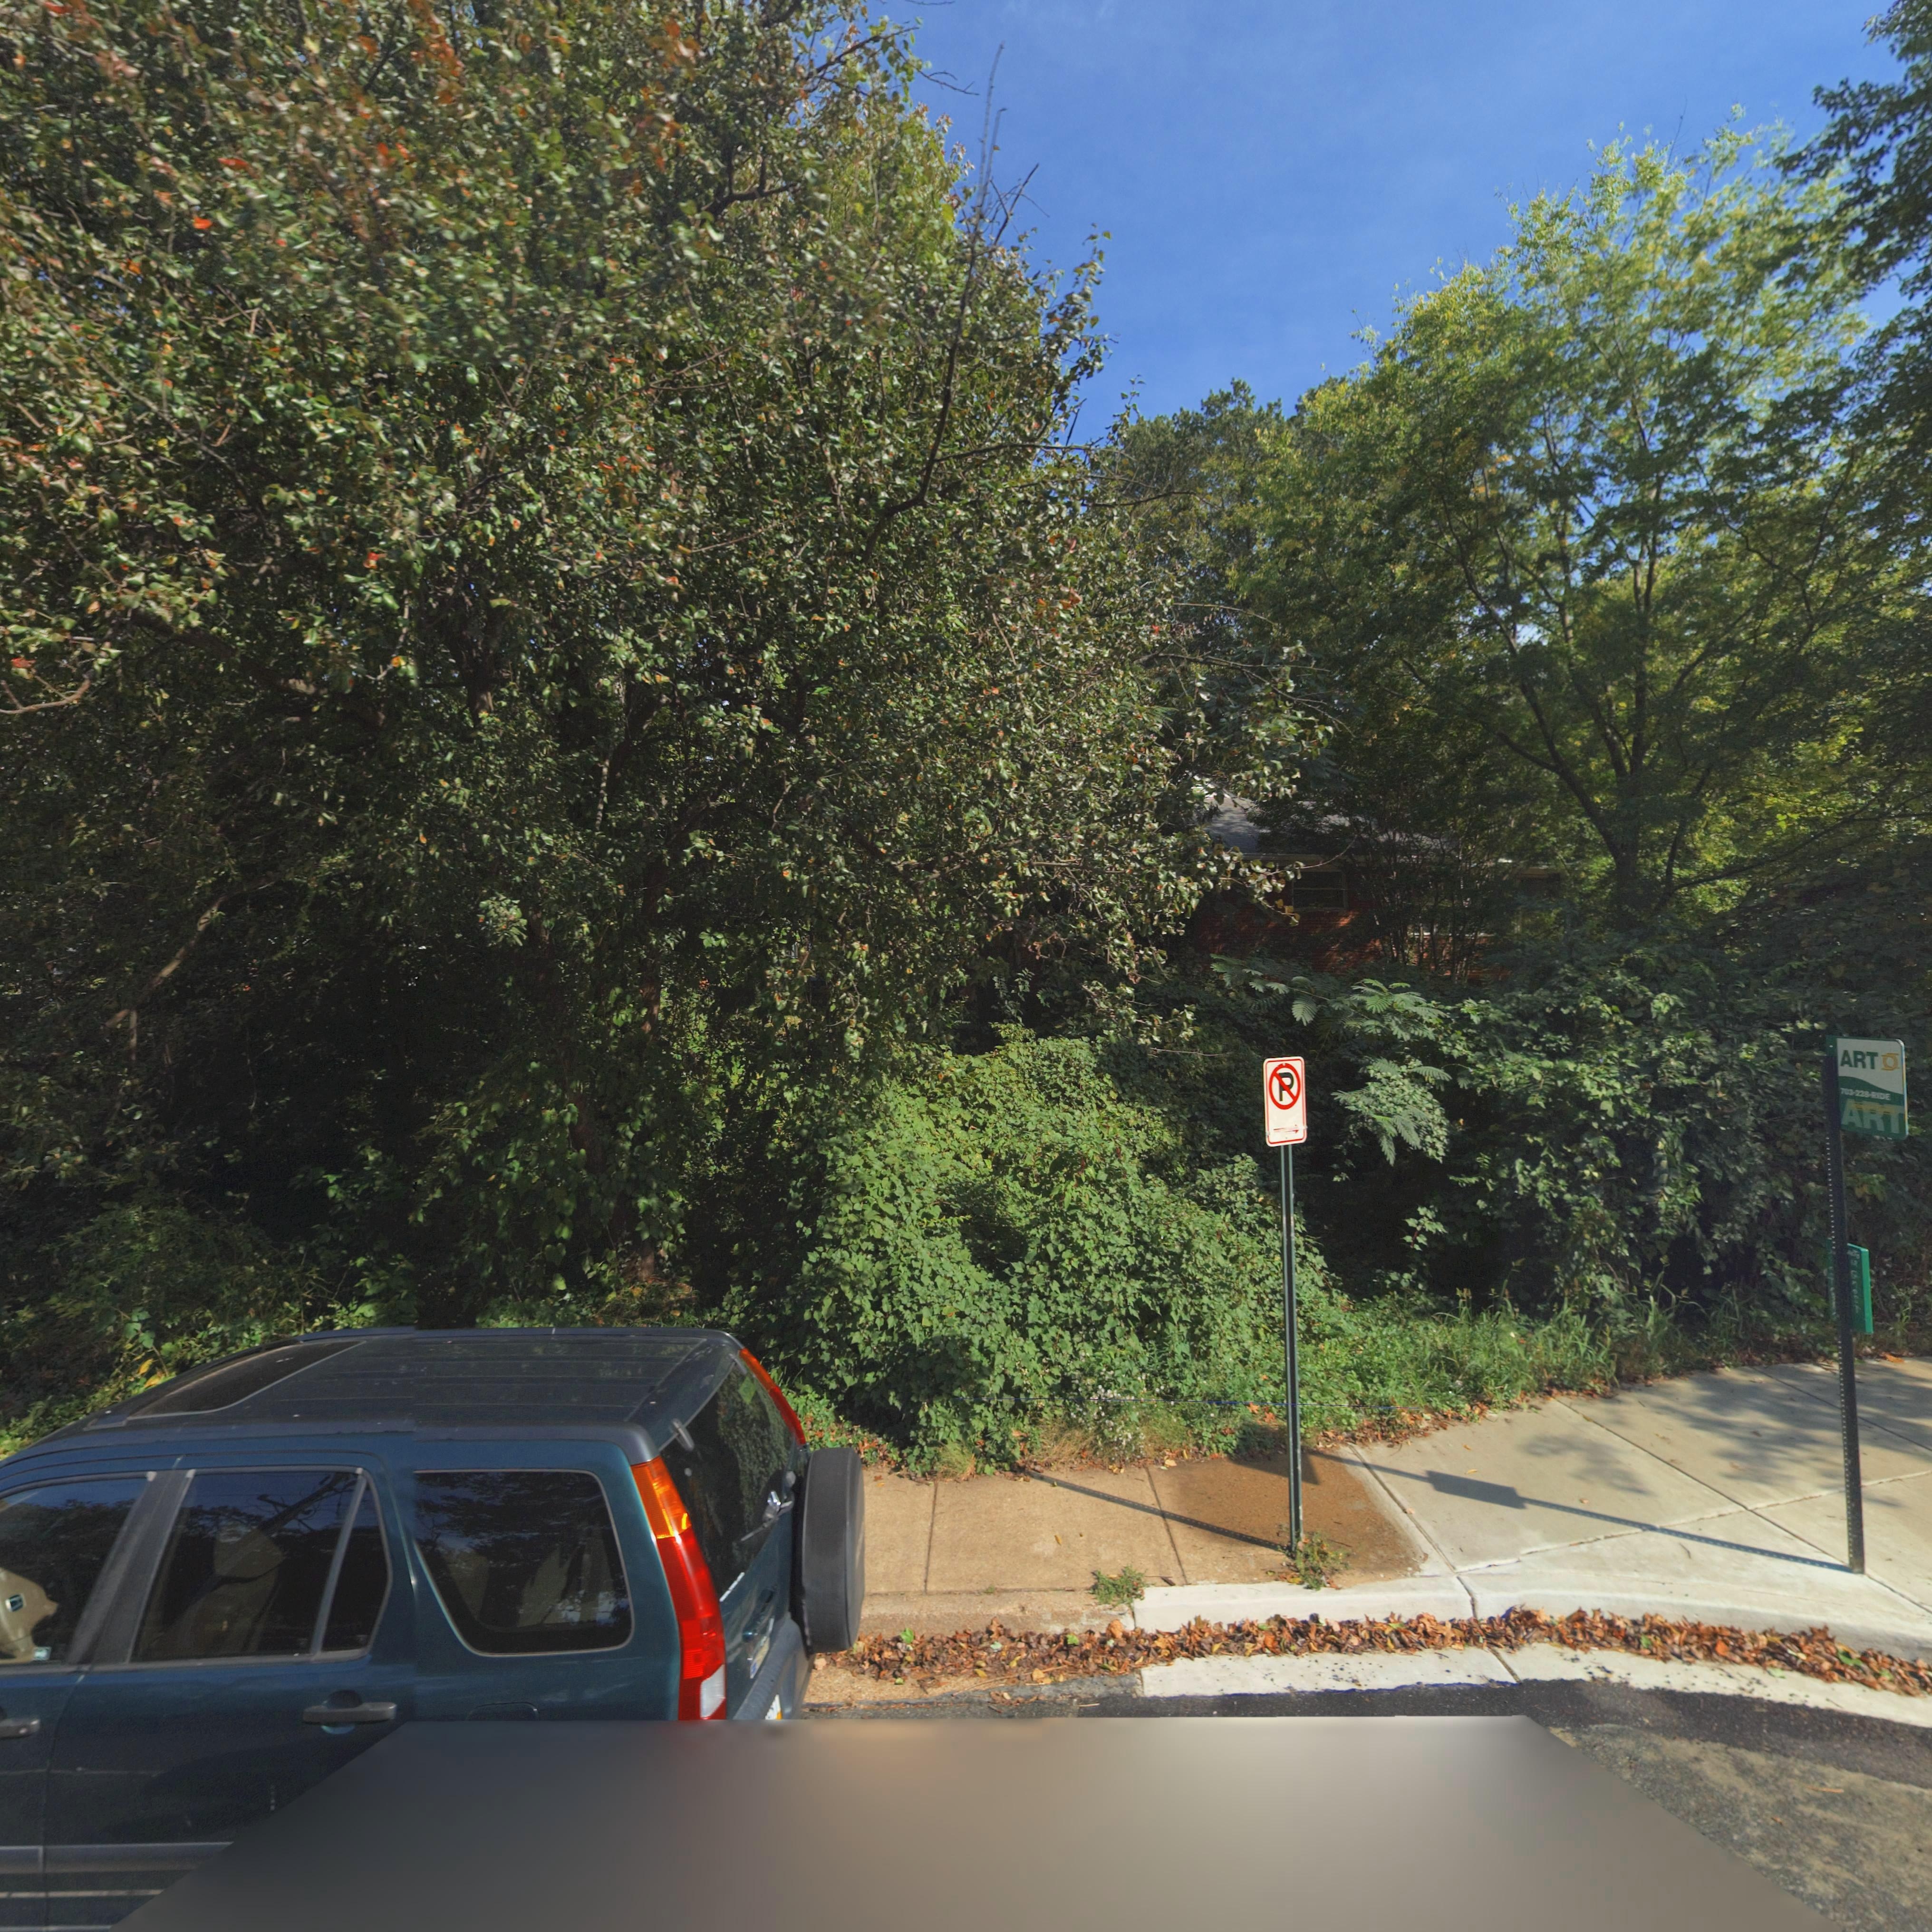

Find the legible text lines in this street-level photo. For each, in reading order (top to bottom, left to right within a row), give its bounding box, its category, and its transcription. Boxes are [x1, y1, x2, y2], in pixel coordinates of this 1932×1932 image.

[1838, 1047, 1881, 1072] None: ART
[1838, 1085, 1892, 1102] None: 703-228-RIDE